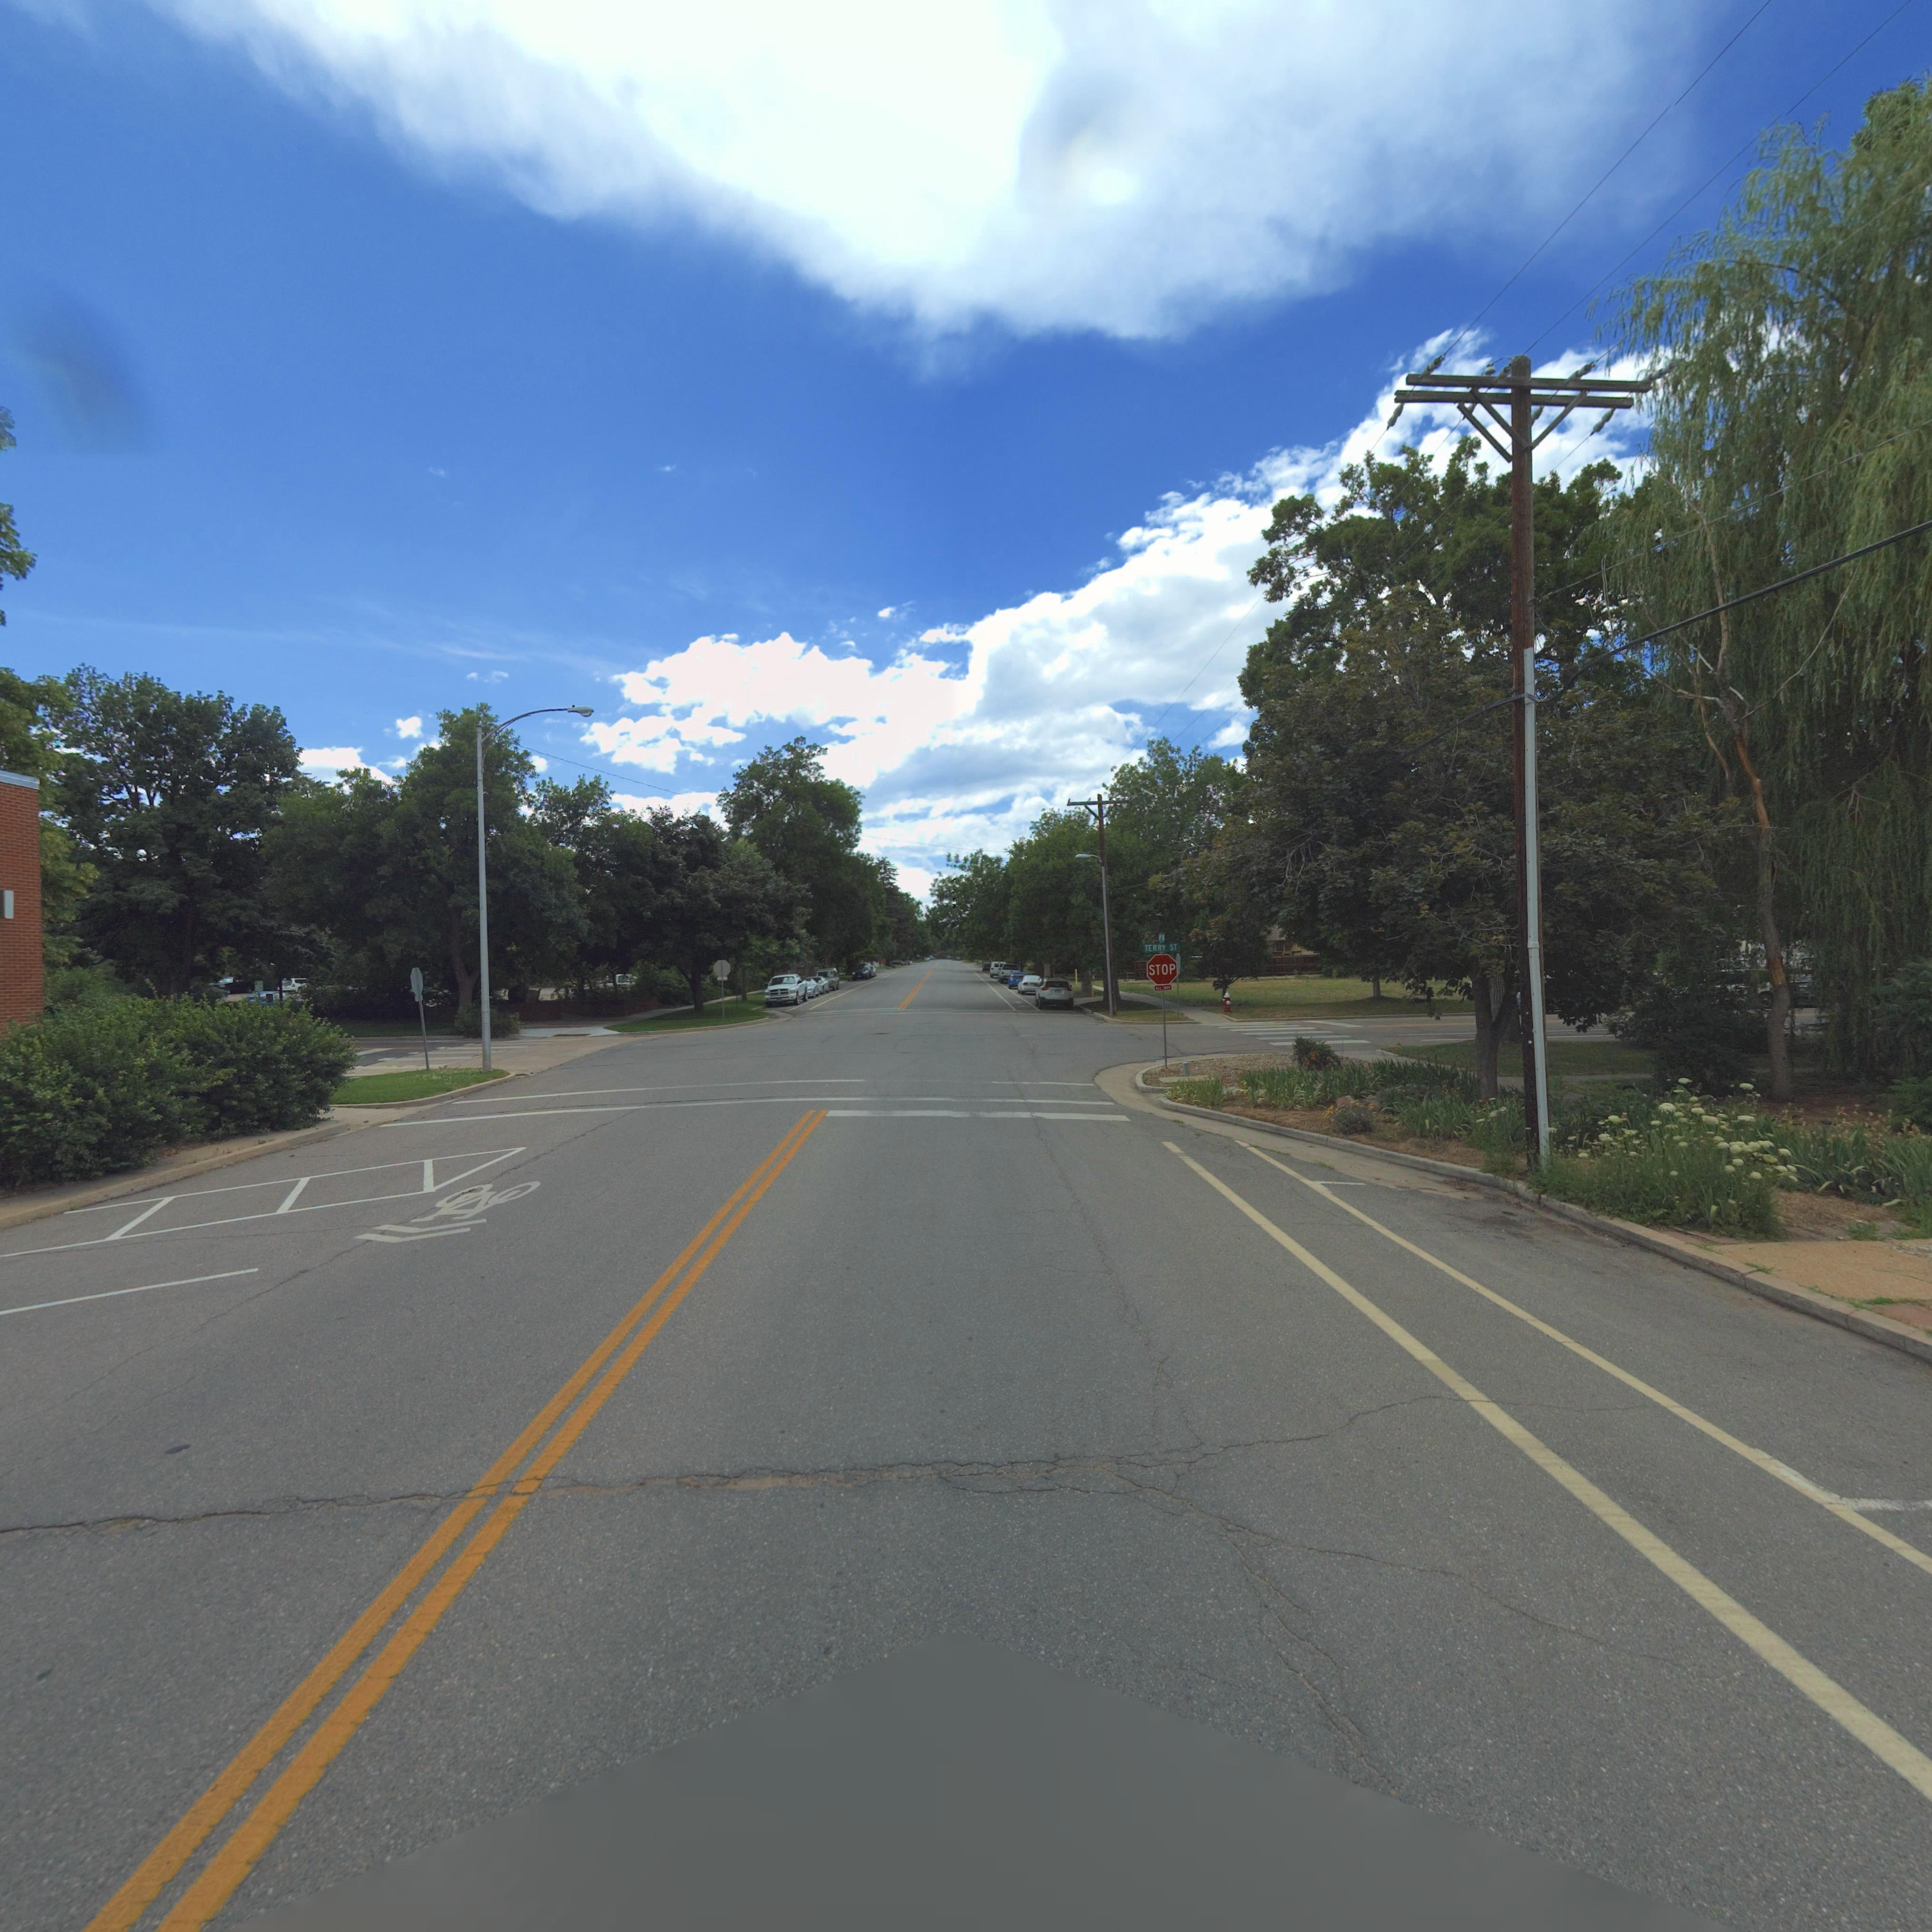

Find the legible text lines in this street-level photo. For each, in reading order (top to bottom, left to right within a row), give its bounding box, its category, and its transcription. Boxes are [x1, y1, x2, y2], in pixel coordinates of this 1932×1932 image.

[1145, 944, 1177, 951] StreetName: TERRY ST